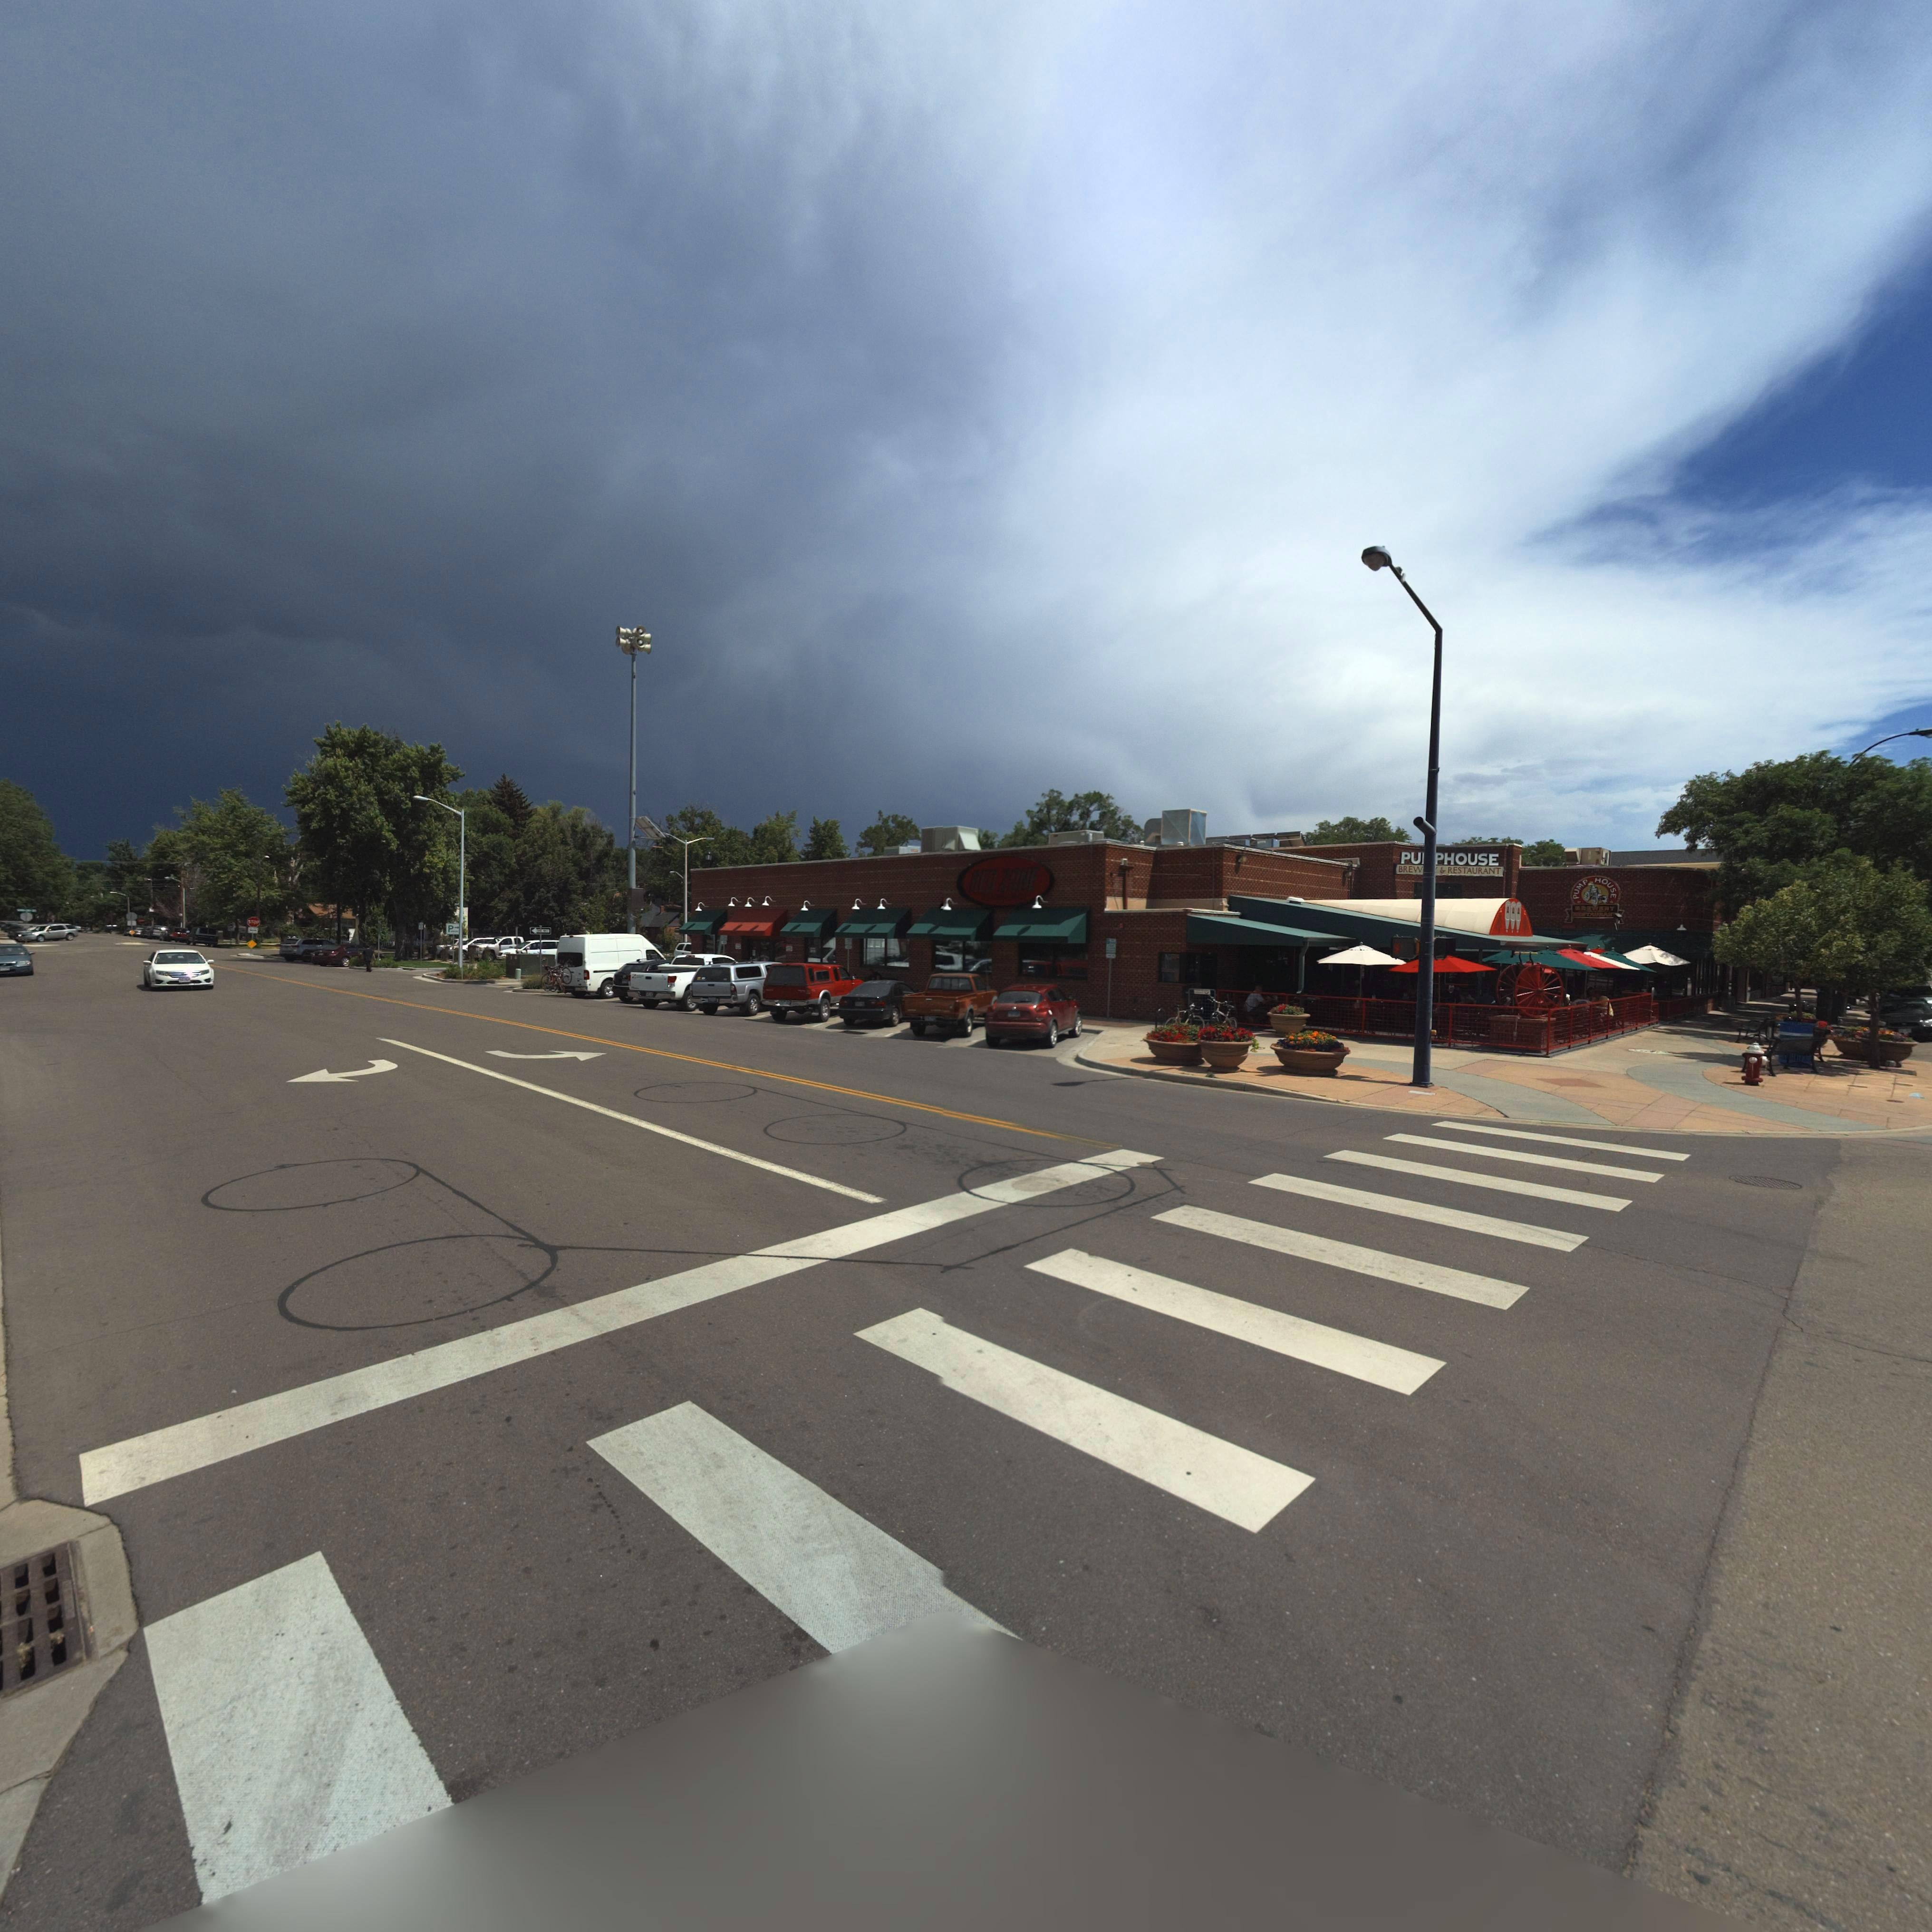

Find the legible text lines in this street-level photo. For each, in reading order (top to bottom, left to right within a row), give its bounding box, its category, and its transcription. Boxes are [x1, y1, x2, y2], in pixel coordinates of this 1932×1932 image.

[1400, 850, 1500, 866] BusinessName: PU*PHOUSE
[1398, 865, 1502, 875] BusinessName: BREW*** & RESTAURANT
[1571, 877, 1617, 900] BusinessName: PUMP HOUSE
[1575, 905, 1614, 911] BusinessName: BREWERY
[1571, 911, 1616, 917] BusinessName: ***TA**A*T